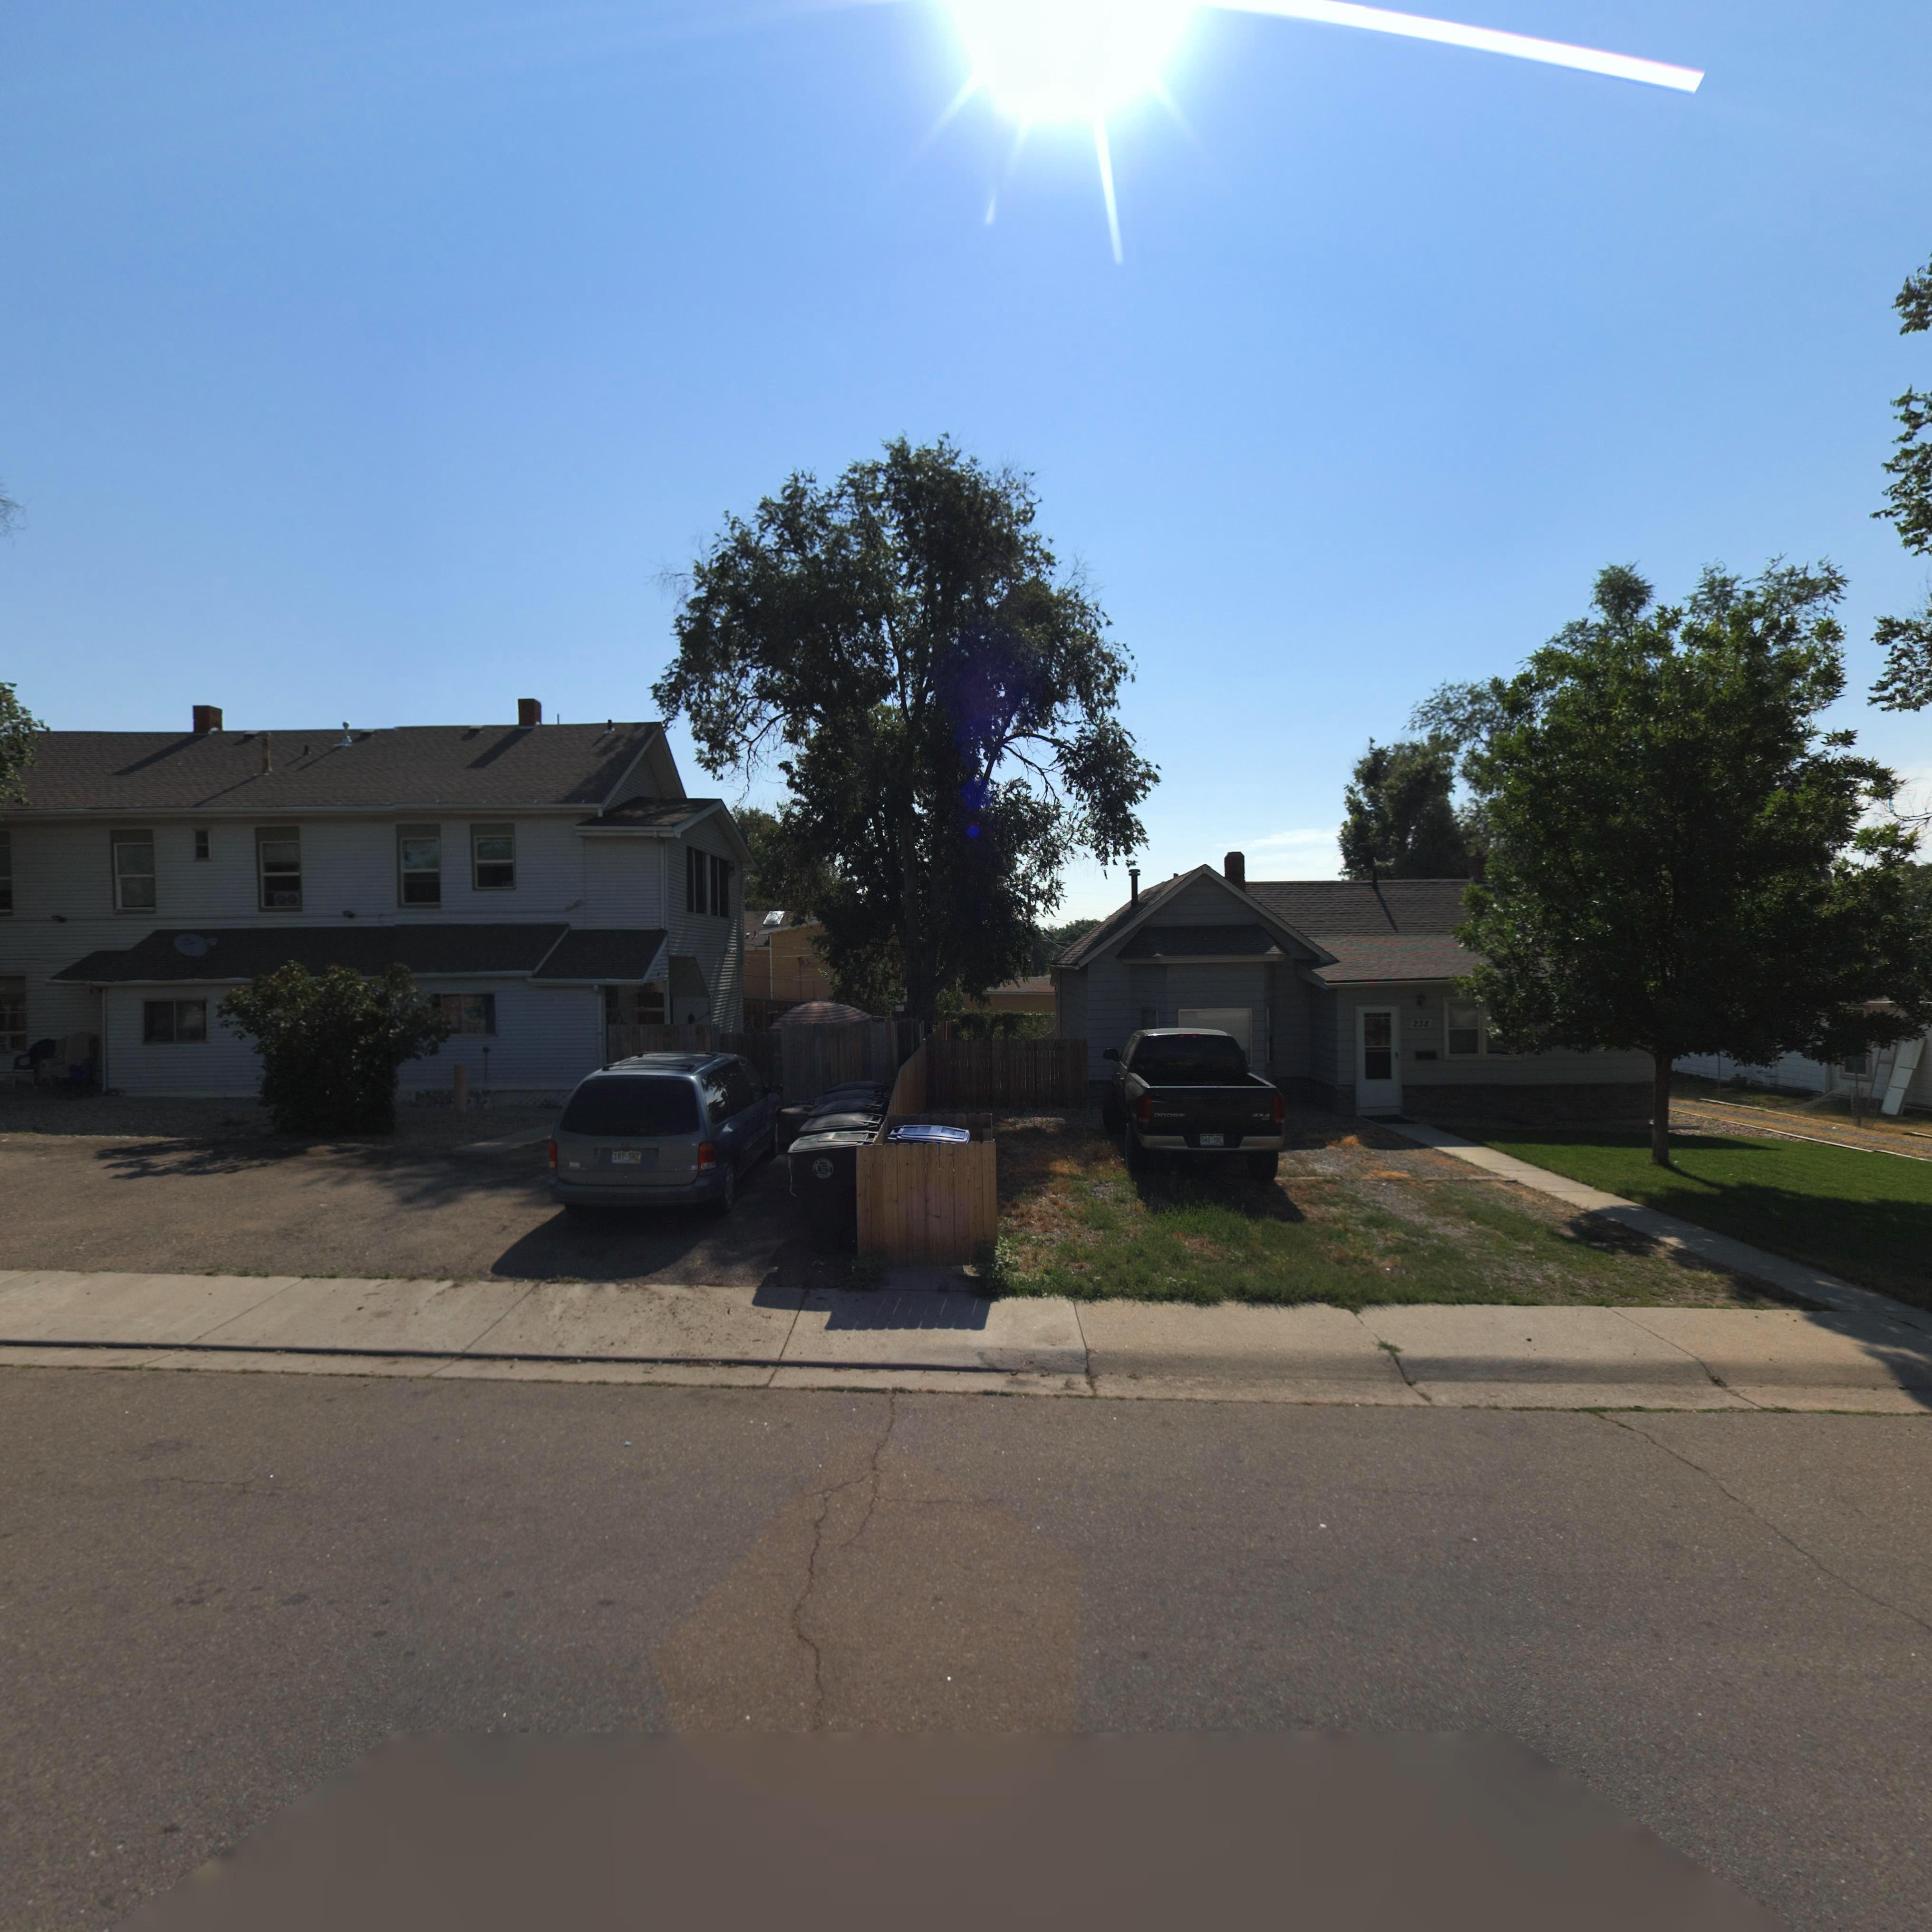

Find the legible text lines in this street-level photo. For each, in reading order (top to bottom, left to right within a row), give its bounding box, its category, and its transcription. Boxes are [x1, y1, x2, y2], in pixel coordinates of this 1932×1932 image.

[1411, 1019, 1430, 1027] StreetNumber: 238